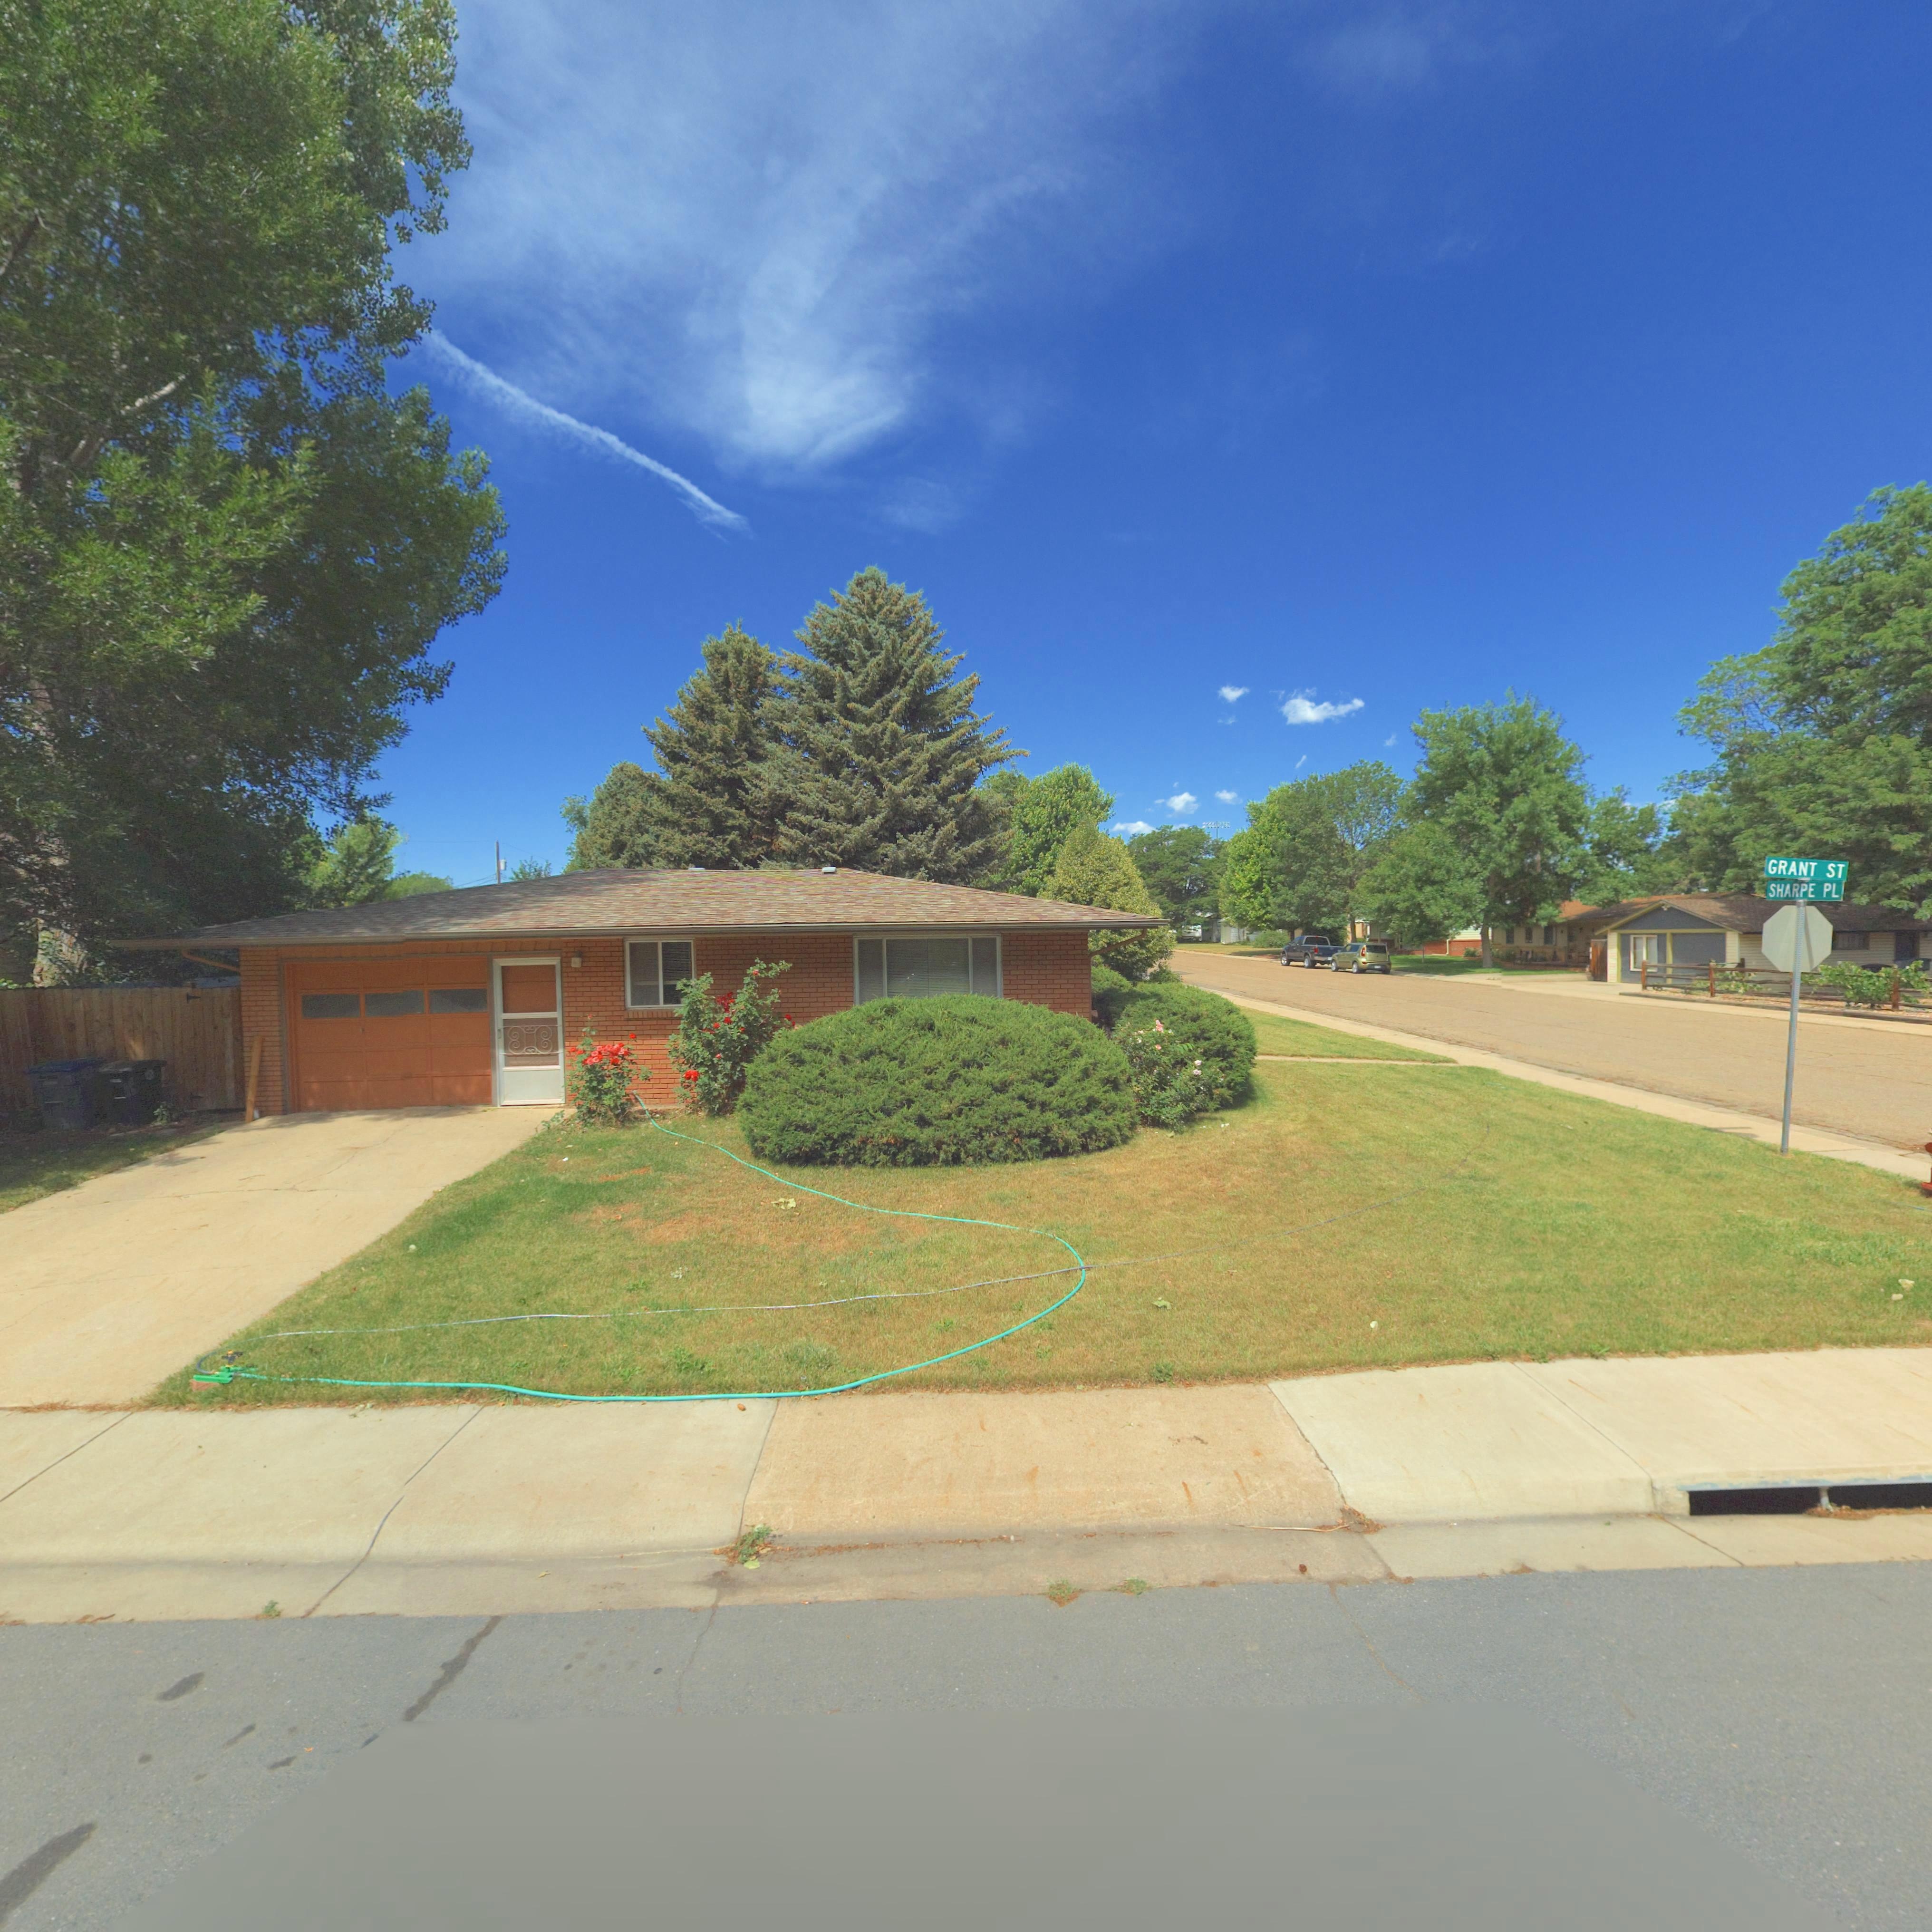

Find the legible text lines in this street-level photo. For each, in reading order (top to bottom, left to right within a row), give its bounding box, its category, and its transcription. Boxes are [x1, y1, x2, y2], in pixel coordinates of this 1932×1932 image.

[1767, 859, 1846, 879] StreetName: GRANT ST
[1768, 882, 1840, 898] StreetName: SHARPE PL